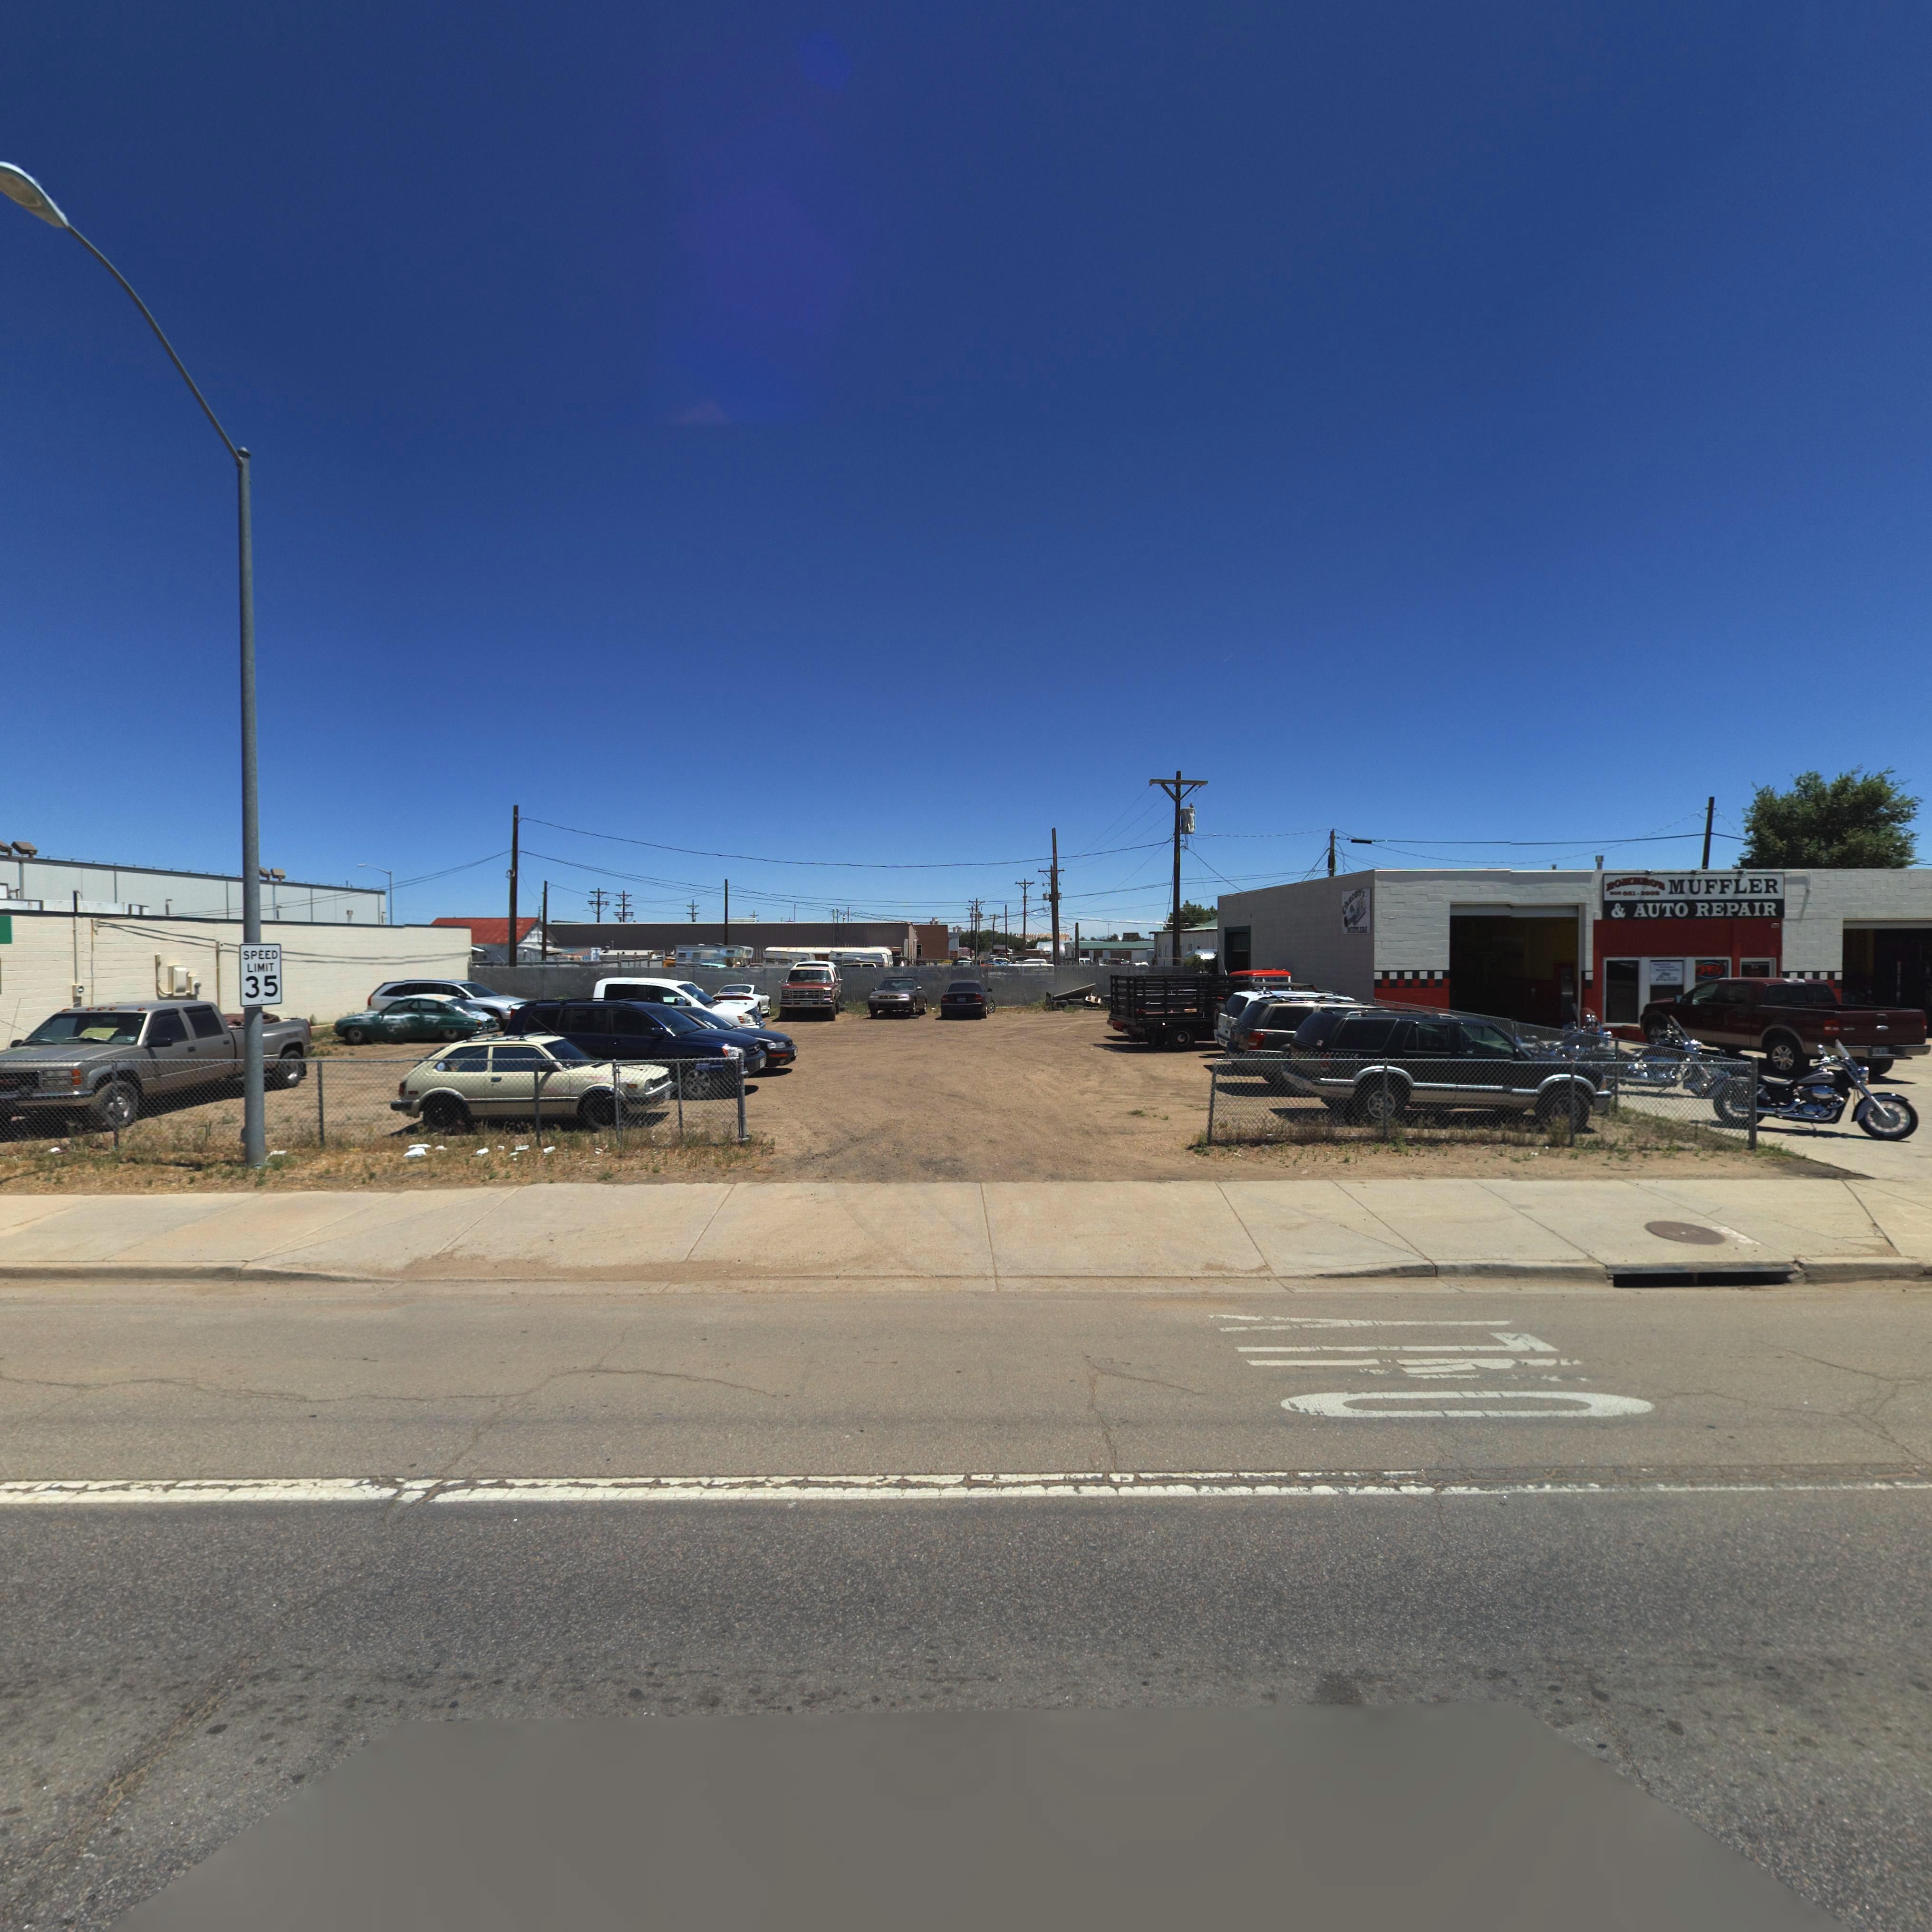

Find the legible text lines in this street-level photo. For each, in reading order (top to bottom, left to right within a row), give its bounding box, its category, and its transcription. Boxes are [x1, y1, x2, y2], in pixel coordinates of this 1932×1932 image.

[1605, 876, 1665, 891] BusinessName: RO**RO*
[1667, 878, 1780, 895] BusinessName: MUFFLER
[1341, 889, 1365, 915] BusinessName: Chacon**
[1610, 902, 1777, 918] BusinessName: & AUTO REPAIR
[1346, 926, 1368, 933] BusinessName: ****LER*